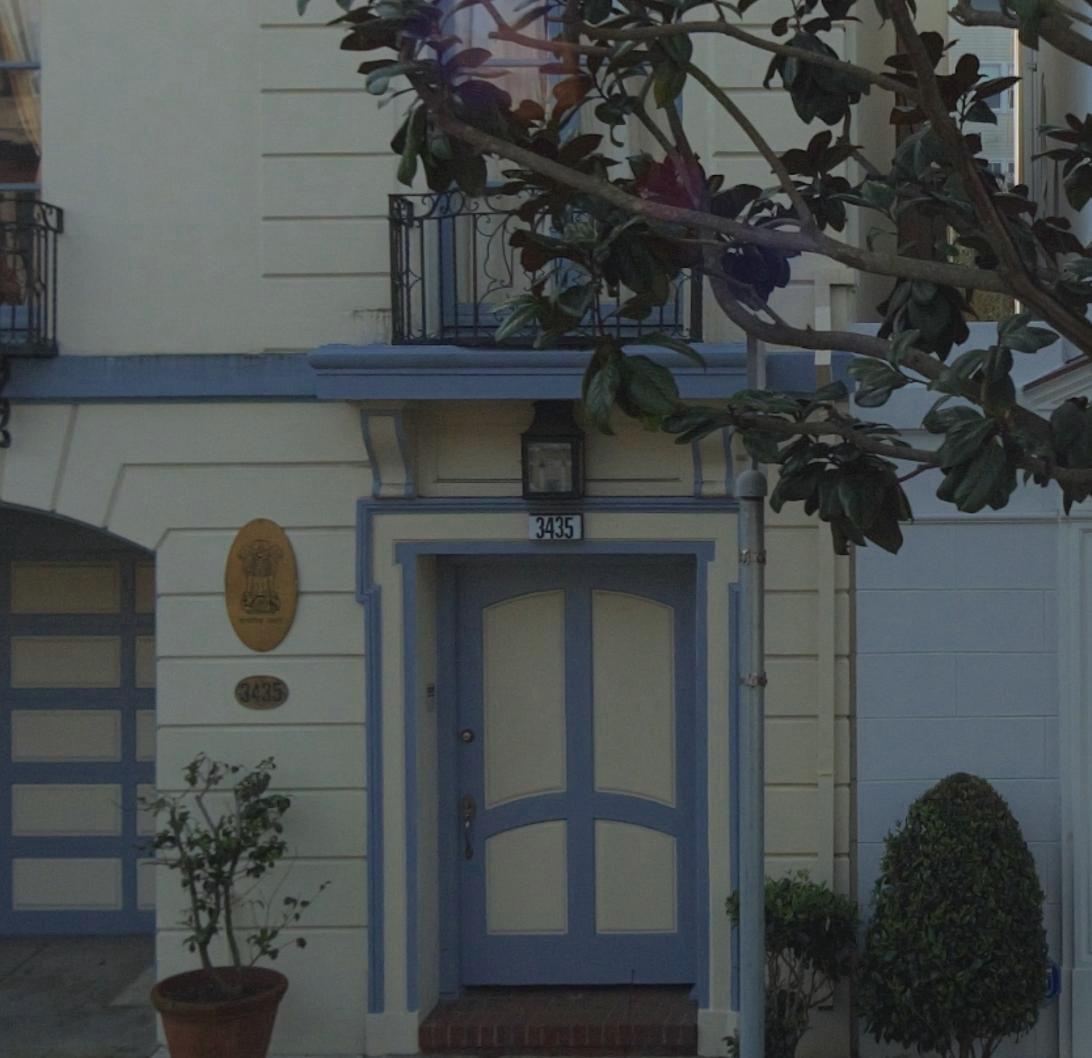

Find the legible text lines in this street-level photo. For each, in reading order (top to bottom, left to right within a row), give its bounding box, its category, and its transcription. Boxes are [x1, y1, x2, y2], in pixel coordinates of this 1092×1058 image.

[533, 514, 576, 541] StreetNumber: 3435
[237, 680, 285, 705] StreetNumber: 3435